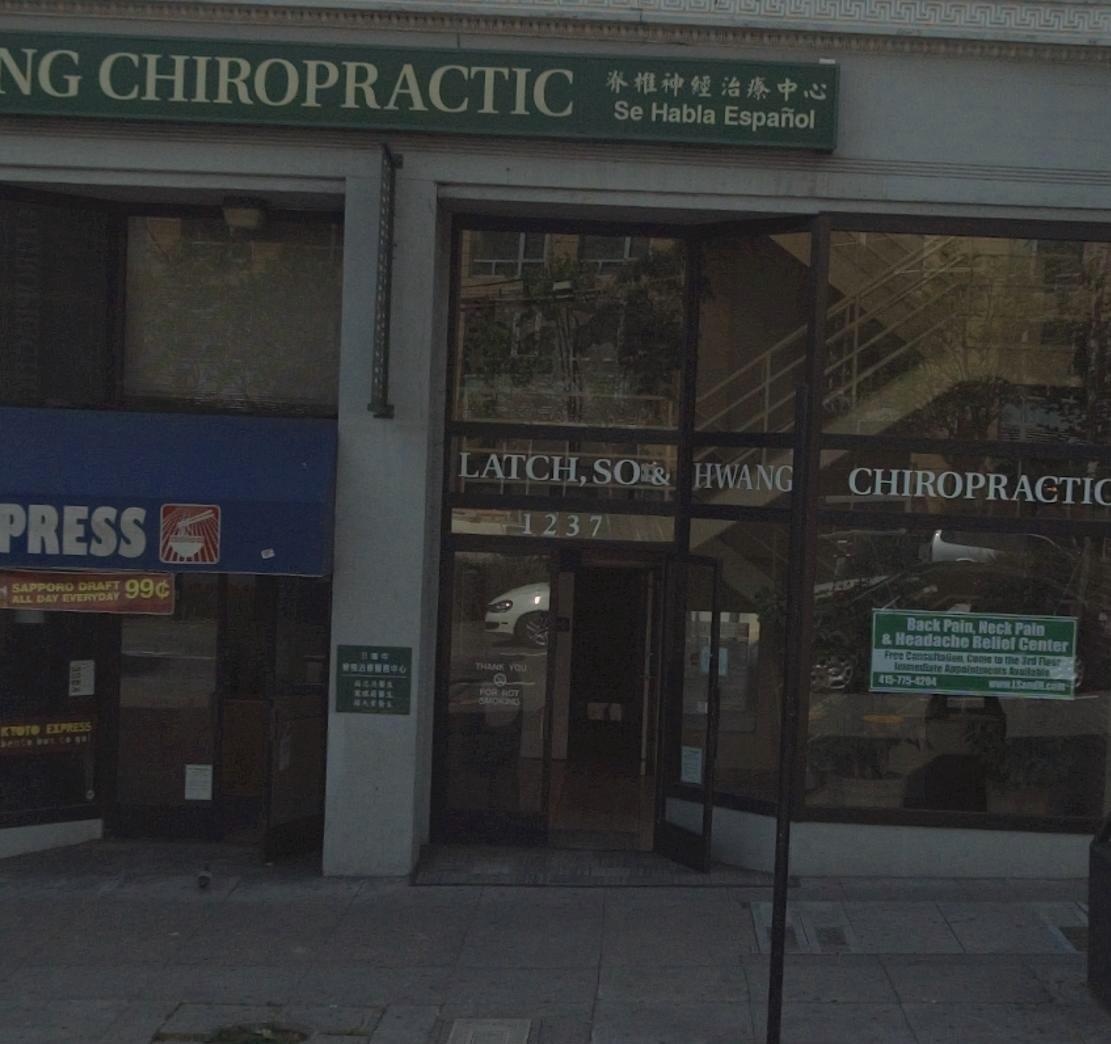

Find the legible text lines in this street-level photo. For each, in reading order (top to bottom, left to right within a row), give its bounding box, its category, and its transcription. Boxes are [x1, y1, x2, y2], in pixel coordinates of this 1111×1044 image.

[33, 42, 577, 120] BusinessName: G CHIROPRACTIC
[612, 96, 817, 136] None: Se Habla Espanol
[456, 450, 794, 494] BusinessName: LATCH, SO & *HWANG
[846, 465, 1096, 506] BusinessName: CHIROPRACTI
[0, 502, 149, 559] BusinessName: PRESS
[521, 511, 606, 540] StreetNumber: 1237
[9, 578, 121, 594] None: SAPPORO DRAFT
[8, 590, 122, 605] None: ALL DAY EVERYDAY
[124, 576, 156, 600] None: 99
[905, 615, 1046, 638] None: Back Pain, Neck Pain
[880, 630, 1070, 654] None: & Headache Relief Center
[474, 661, 528, 673] None: THANKS YOU
[893, 660, 1051, 679] None: Immediate Appointments Available
[883, 648, 1063, 668] None: Free C*nsultalion, Come to the 3rd Floor
[477, 695, 520, 707] None: SMOKING
[478, 687, 521, 697] None: FOR NOT
[876, 673, 938, 688] None: 415-775-4204
[986, 677, 1066, 695] None: www.ISand**.com
[0, 720, 93, 739] None: KTOTO EXPRESS